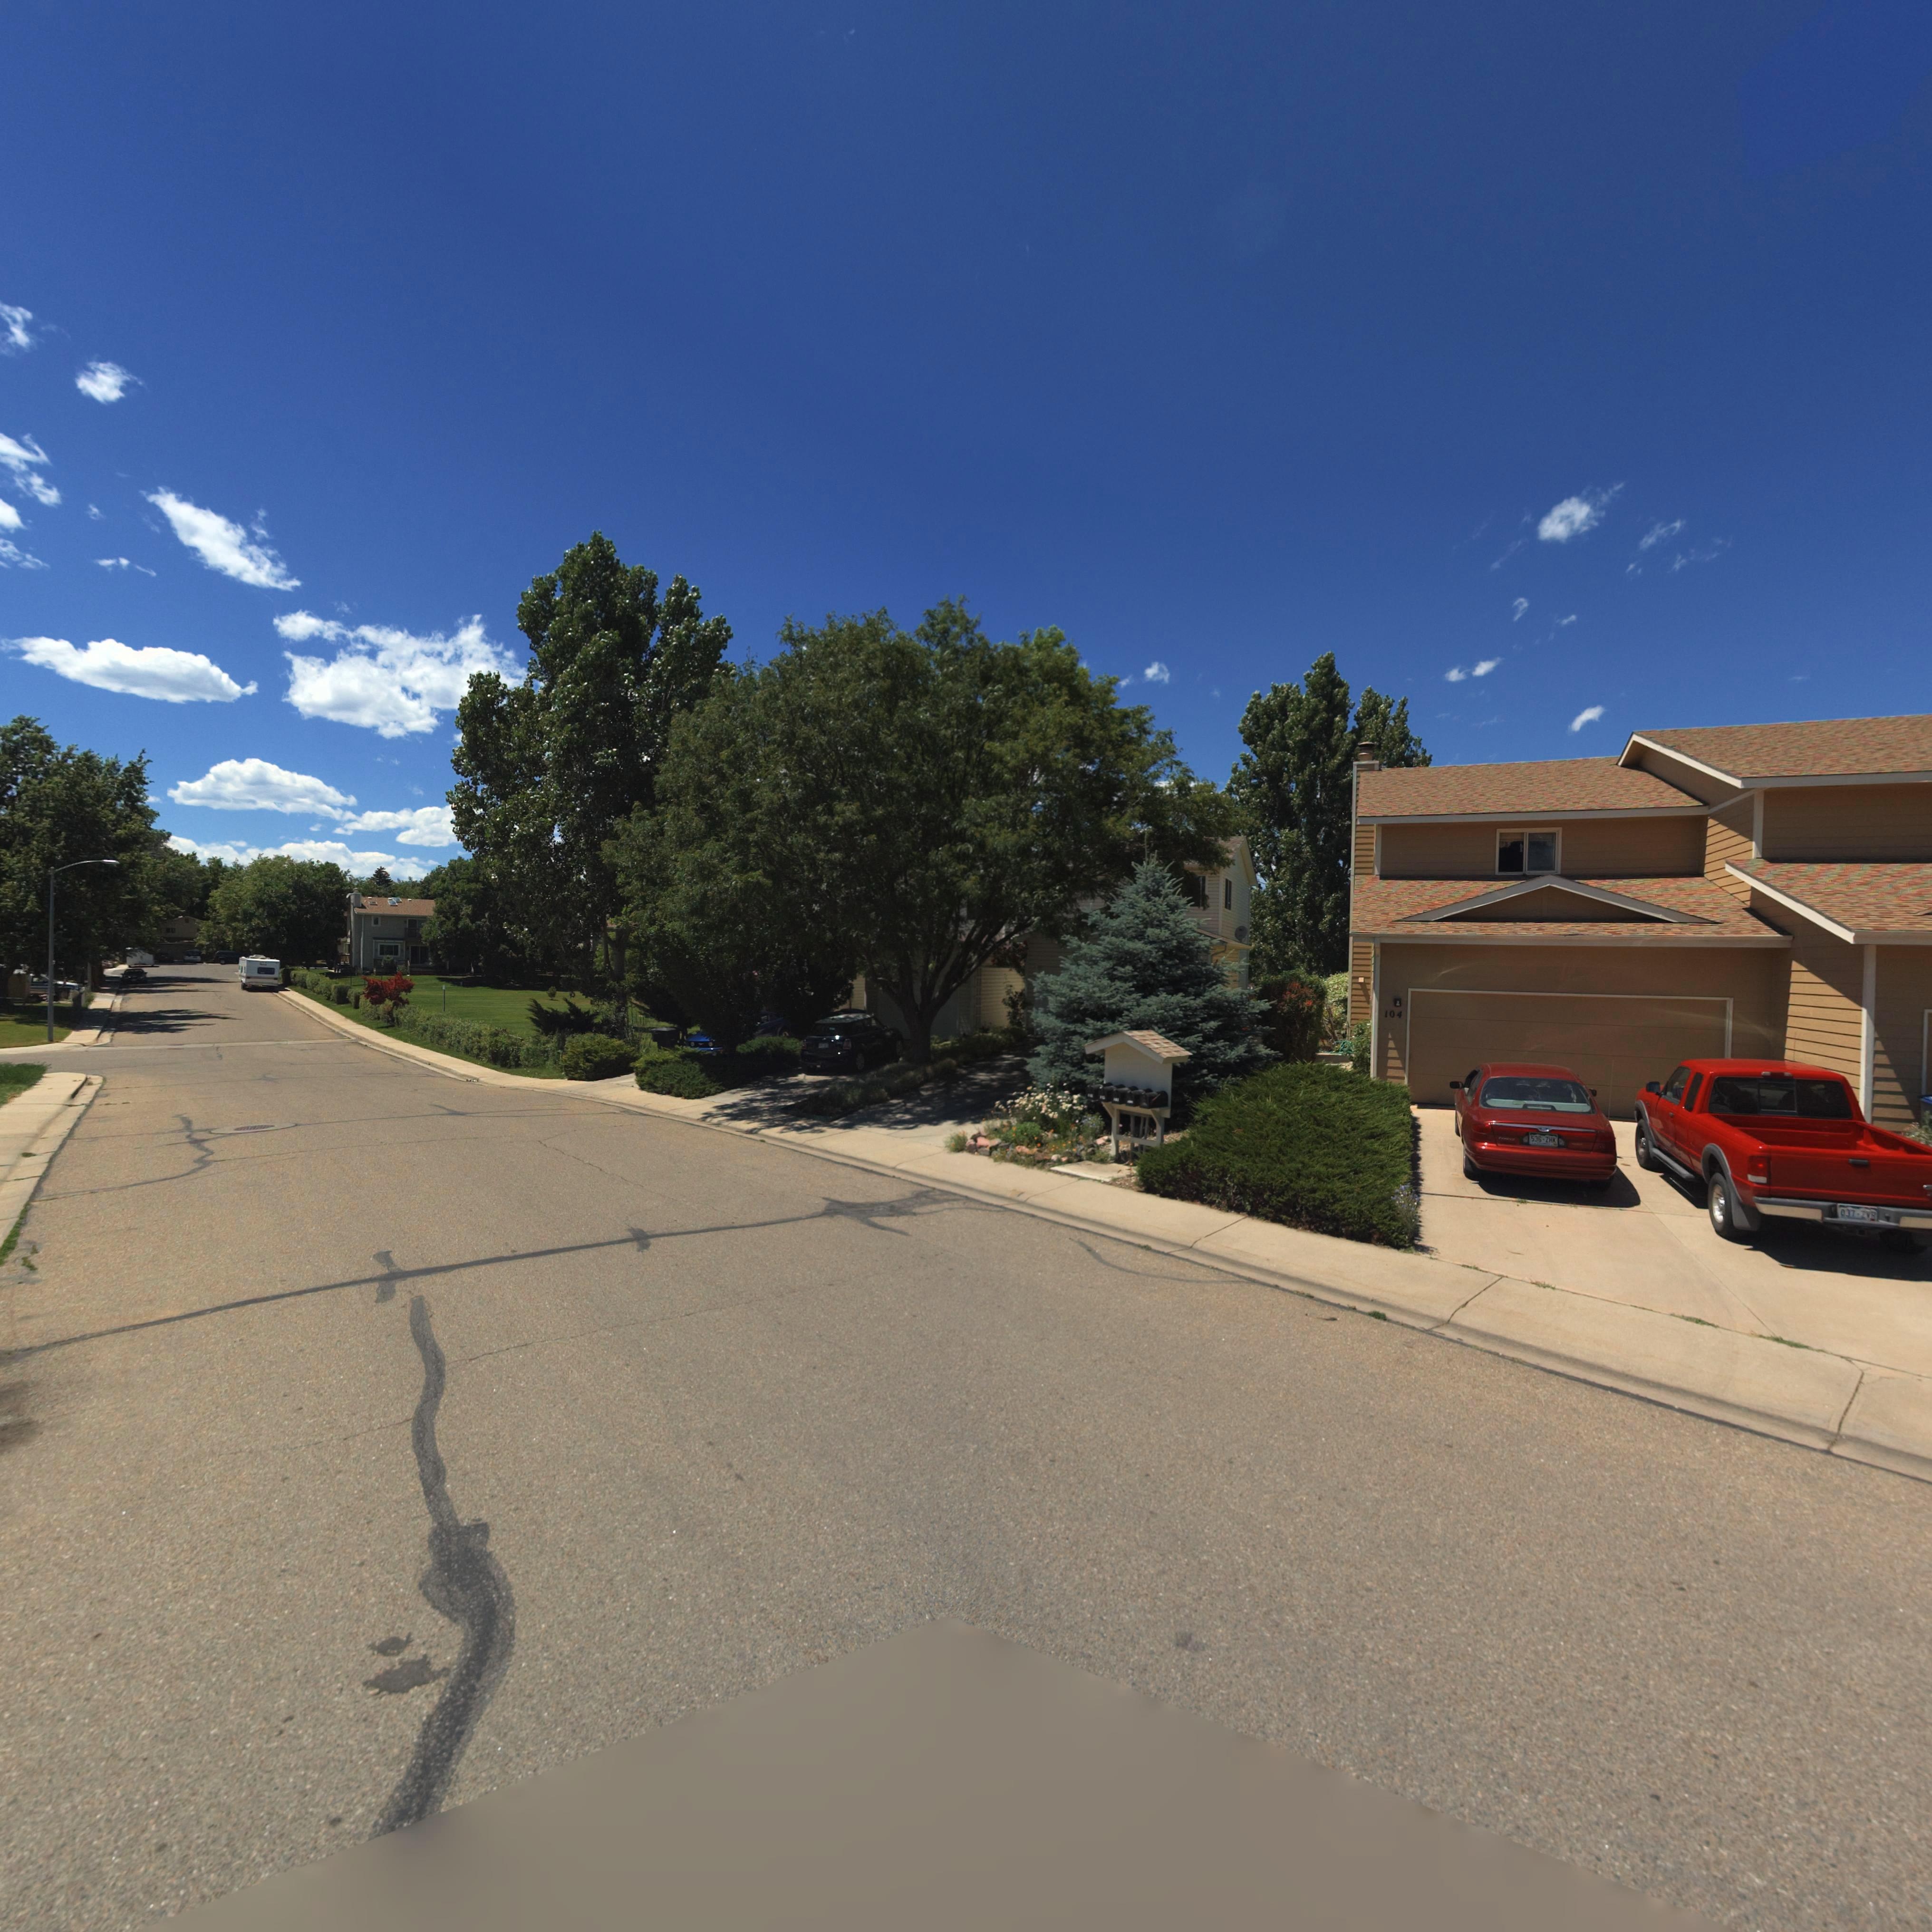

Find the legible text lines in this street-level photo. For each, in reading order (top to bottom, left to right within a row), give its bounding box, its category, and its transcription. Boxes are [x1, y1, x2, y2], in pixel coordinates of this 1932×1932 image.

[1384, 1010, 1402, 1018] StreetNumber: 104
[1087, 1093, 1093, 1098] StreetNumber: 11*
[1099, 1095, 1105, 1099] StreetNumber: 1**